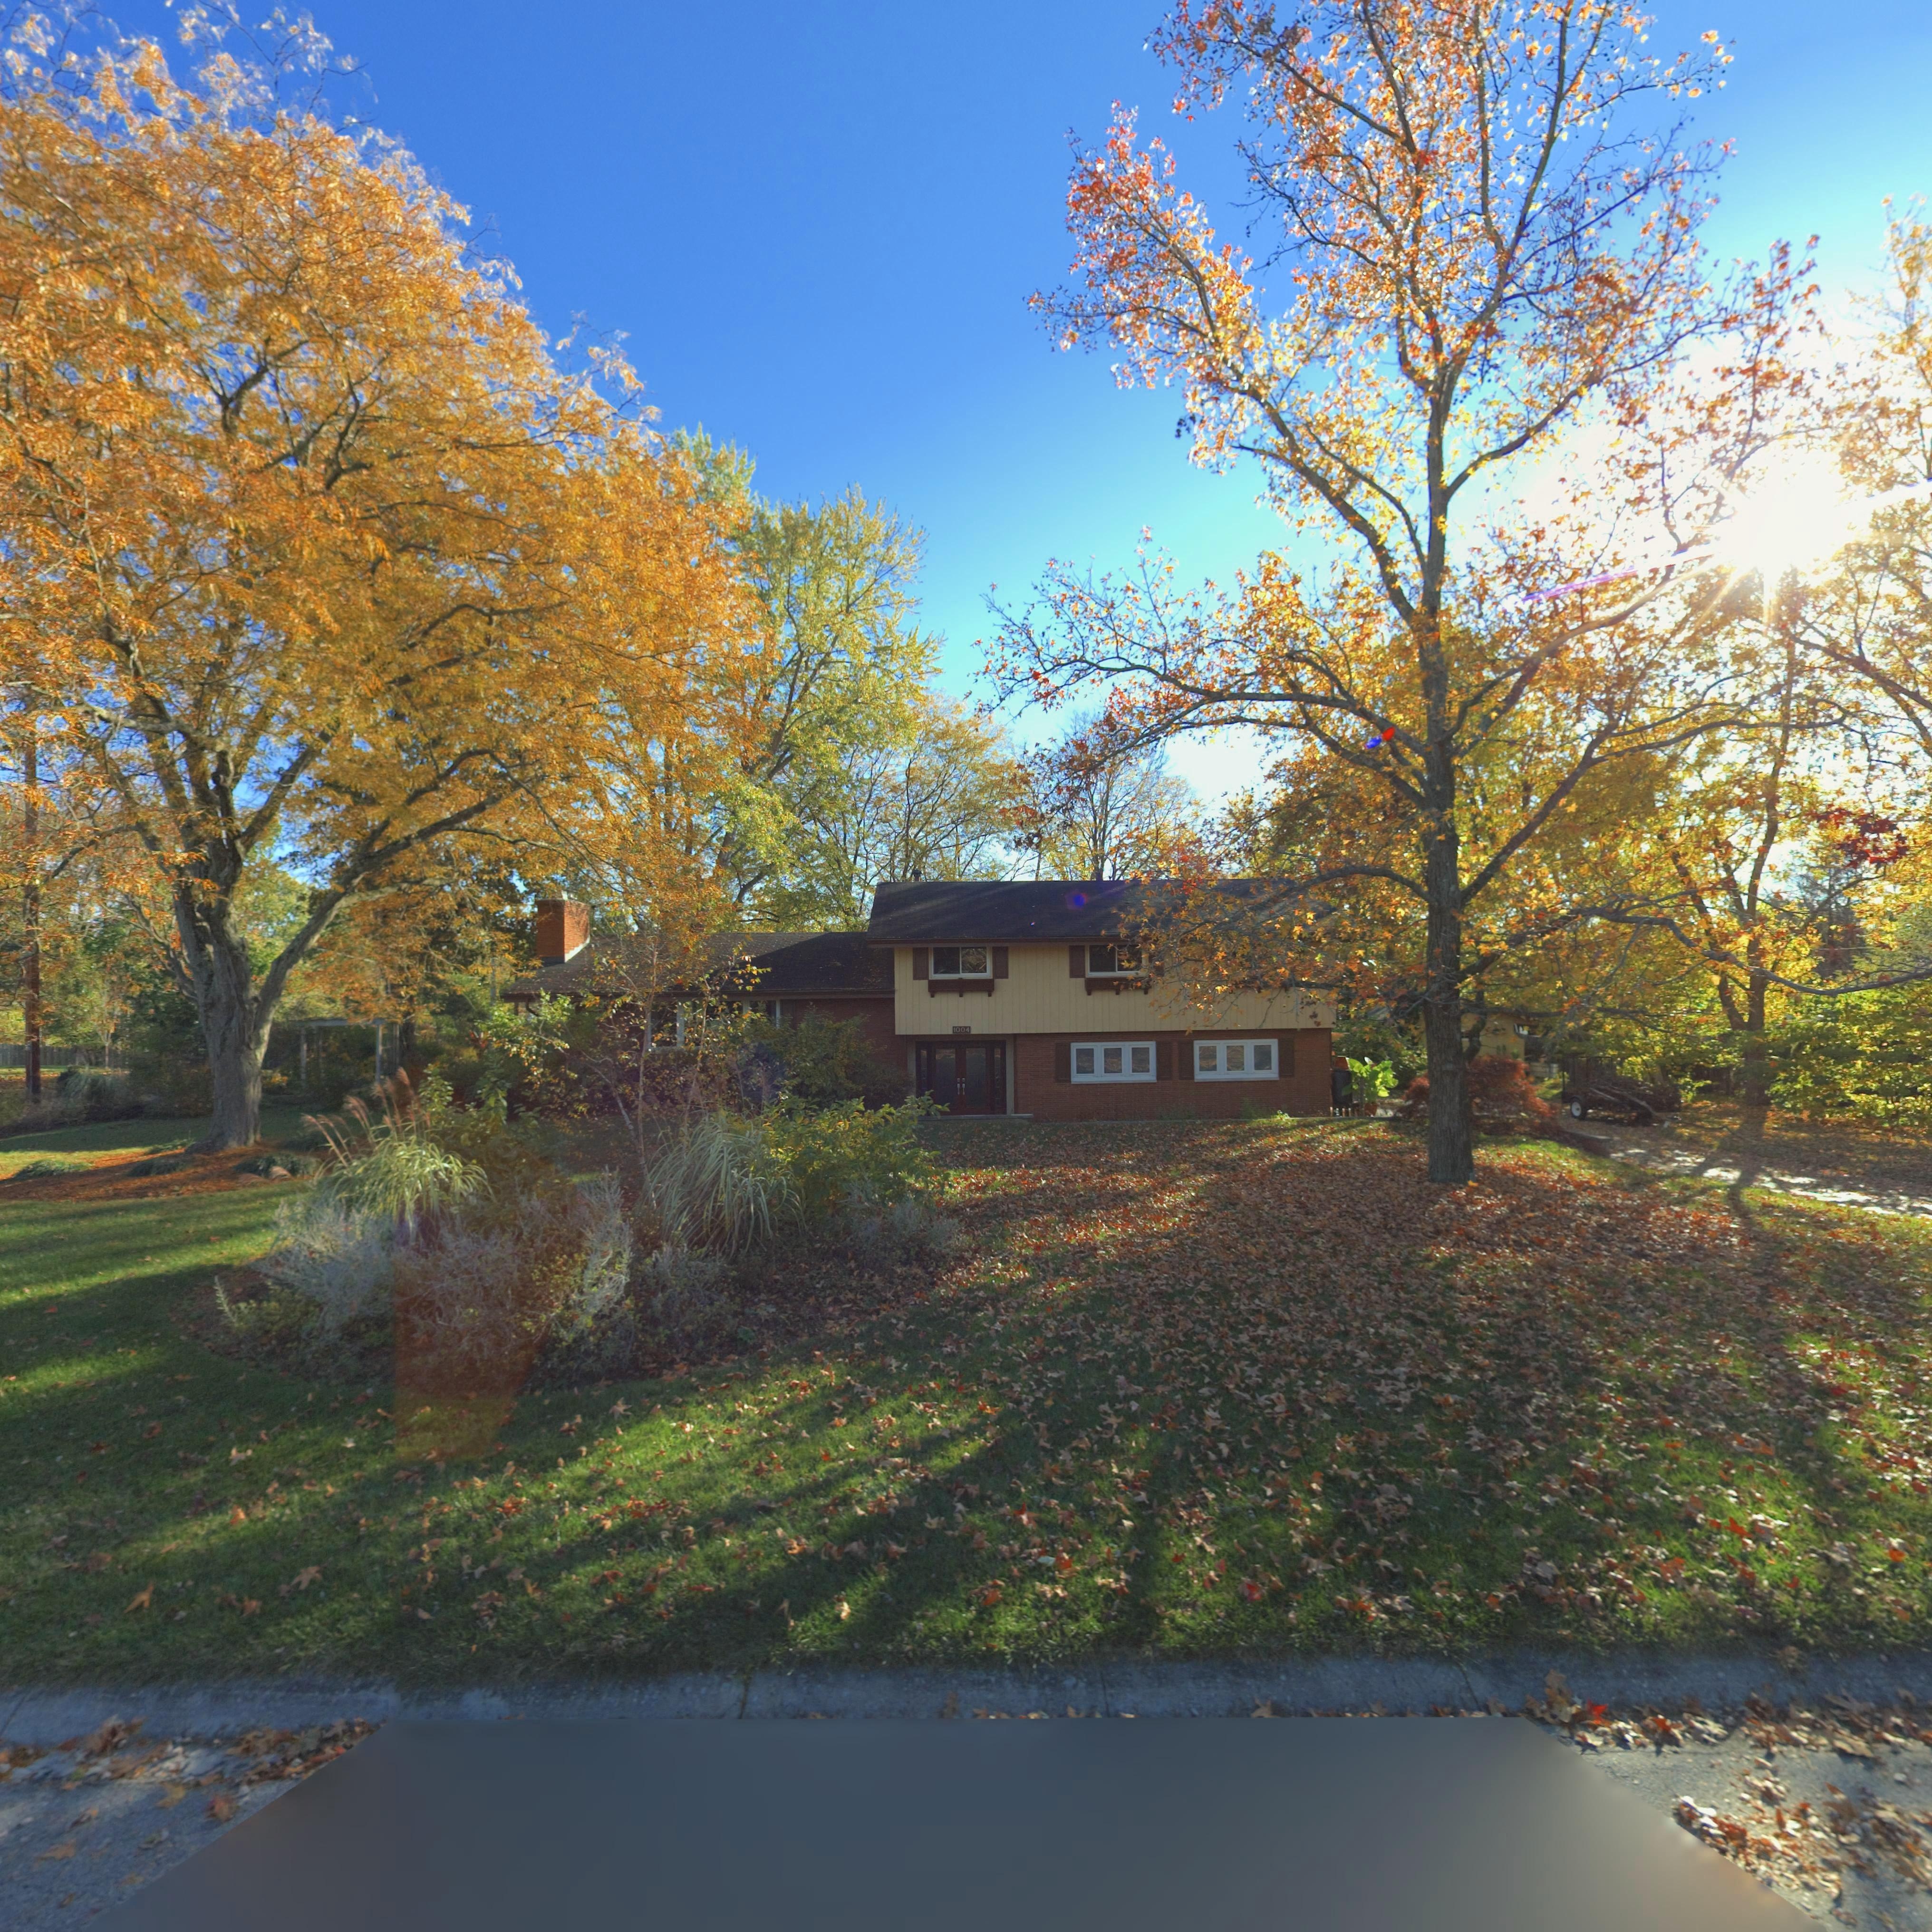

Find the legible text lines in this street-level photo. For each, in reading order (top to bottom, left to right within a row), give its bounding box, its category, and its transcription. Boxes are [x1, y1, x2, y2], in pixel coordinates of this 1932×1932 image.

[953, 1026, 970, 1033] StreetNumber: 1004